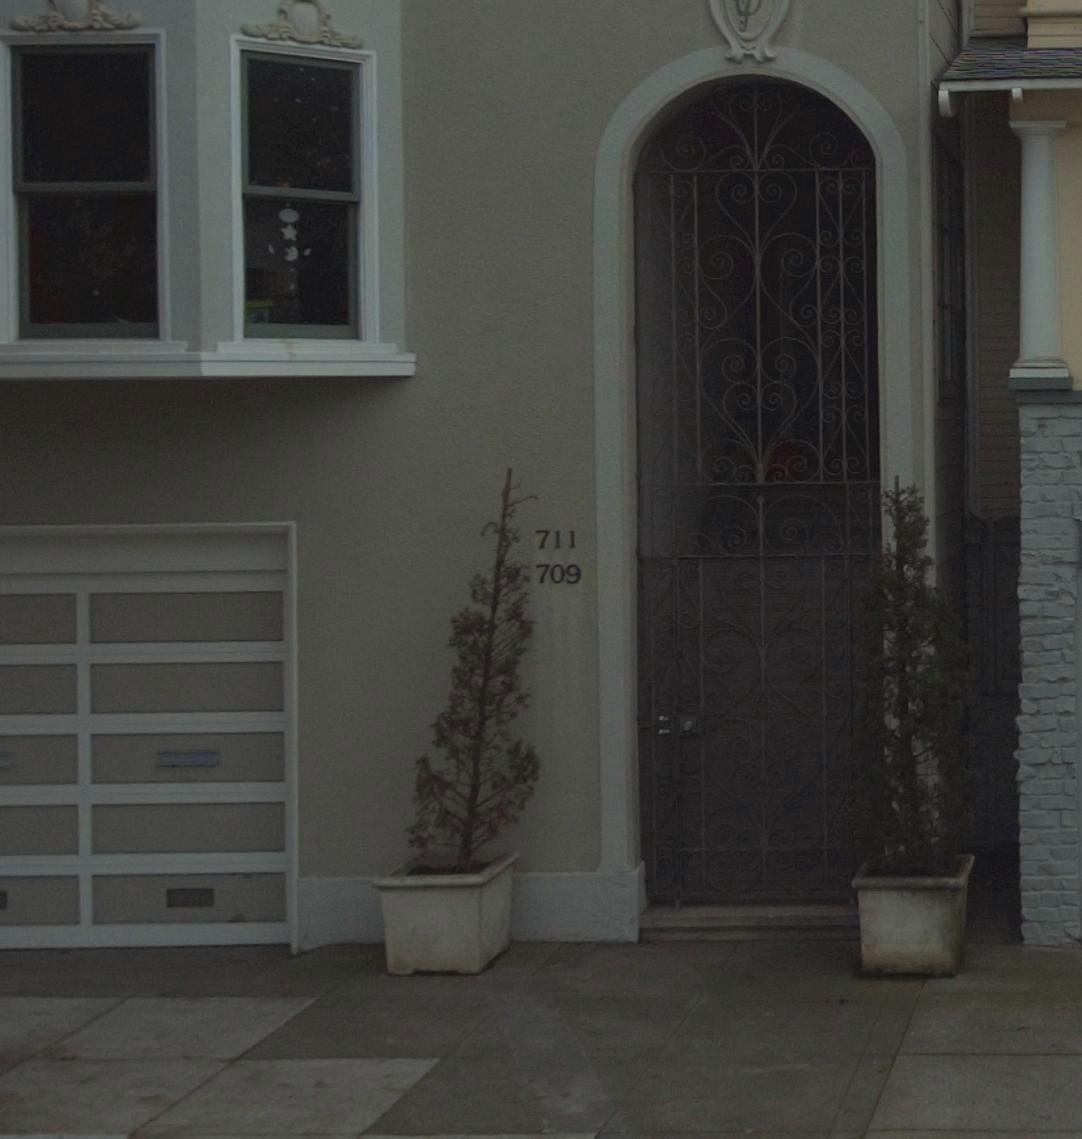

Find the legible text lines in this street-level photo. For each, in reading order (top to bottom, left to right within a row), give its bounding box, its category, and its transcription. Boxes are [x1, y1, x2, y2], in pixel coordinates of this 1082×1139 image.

[533, 527, 578, 551] StreetNumber: 711
[535, 562, 583, 585] StreetNumber: 709